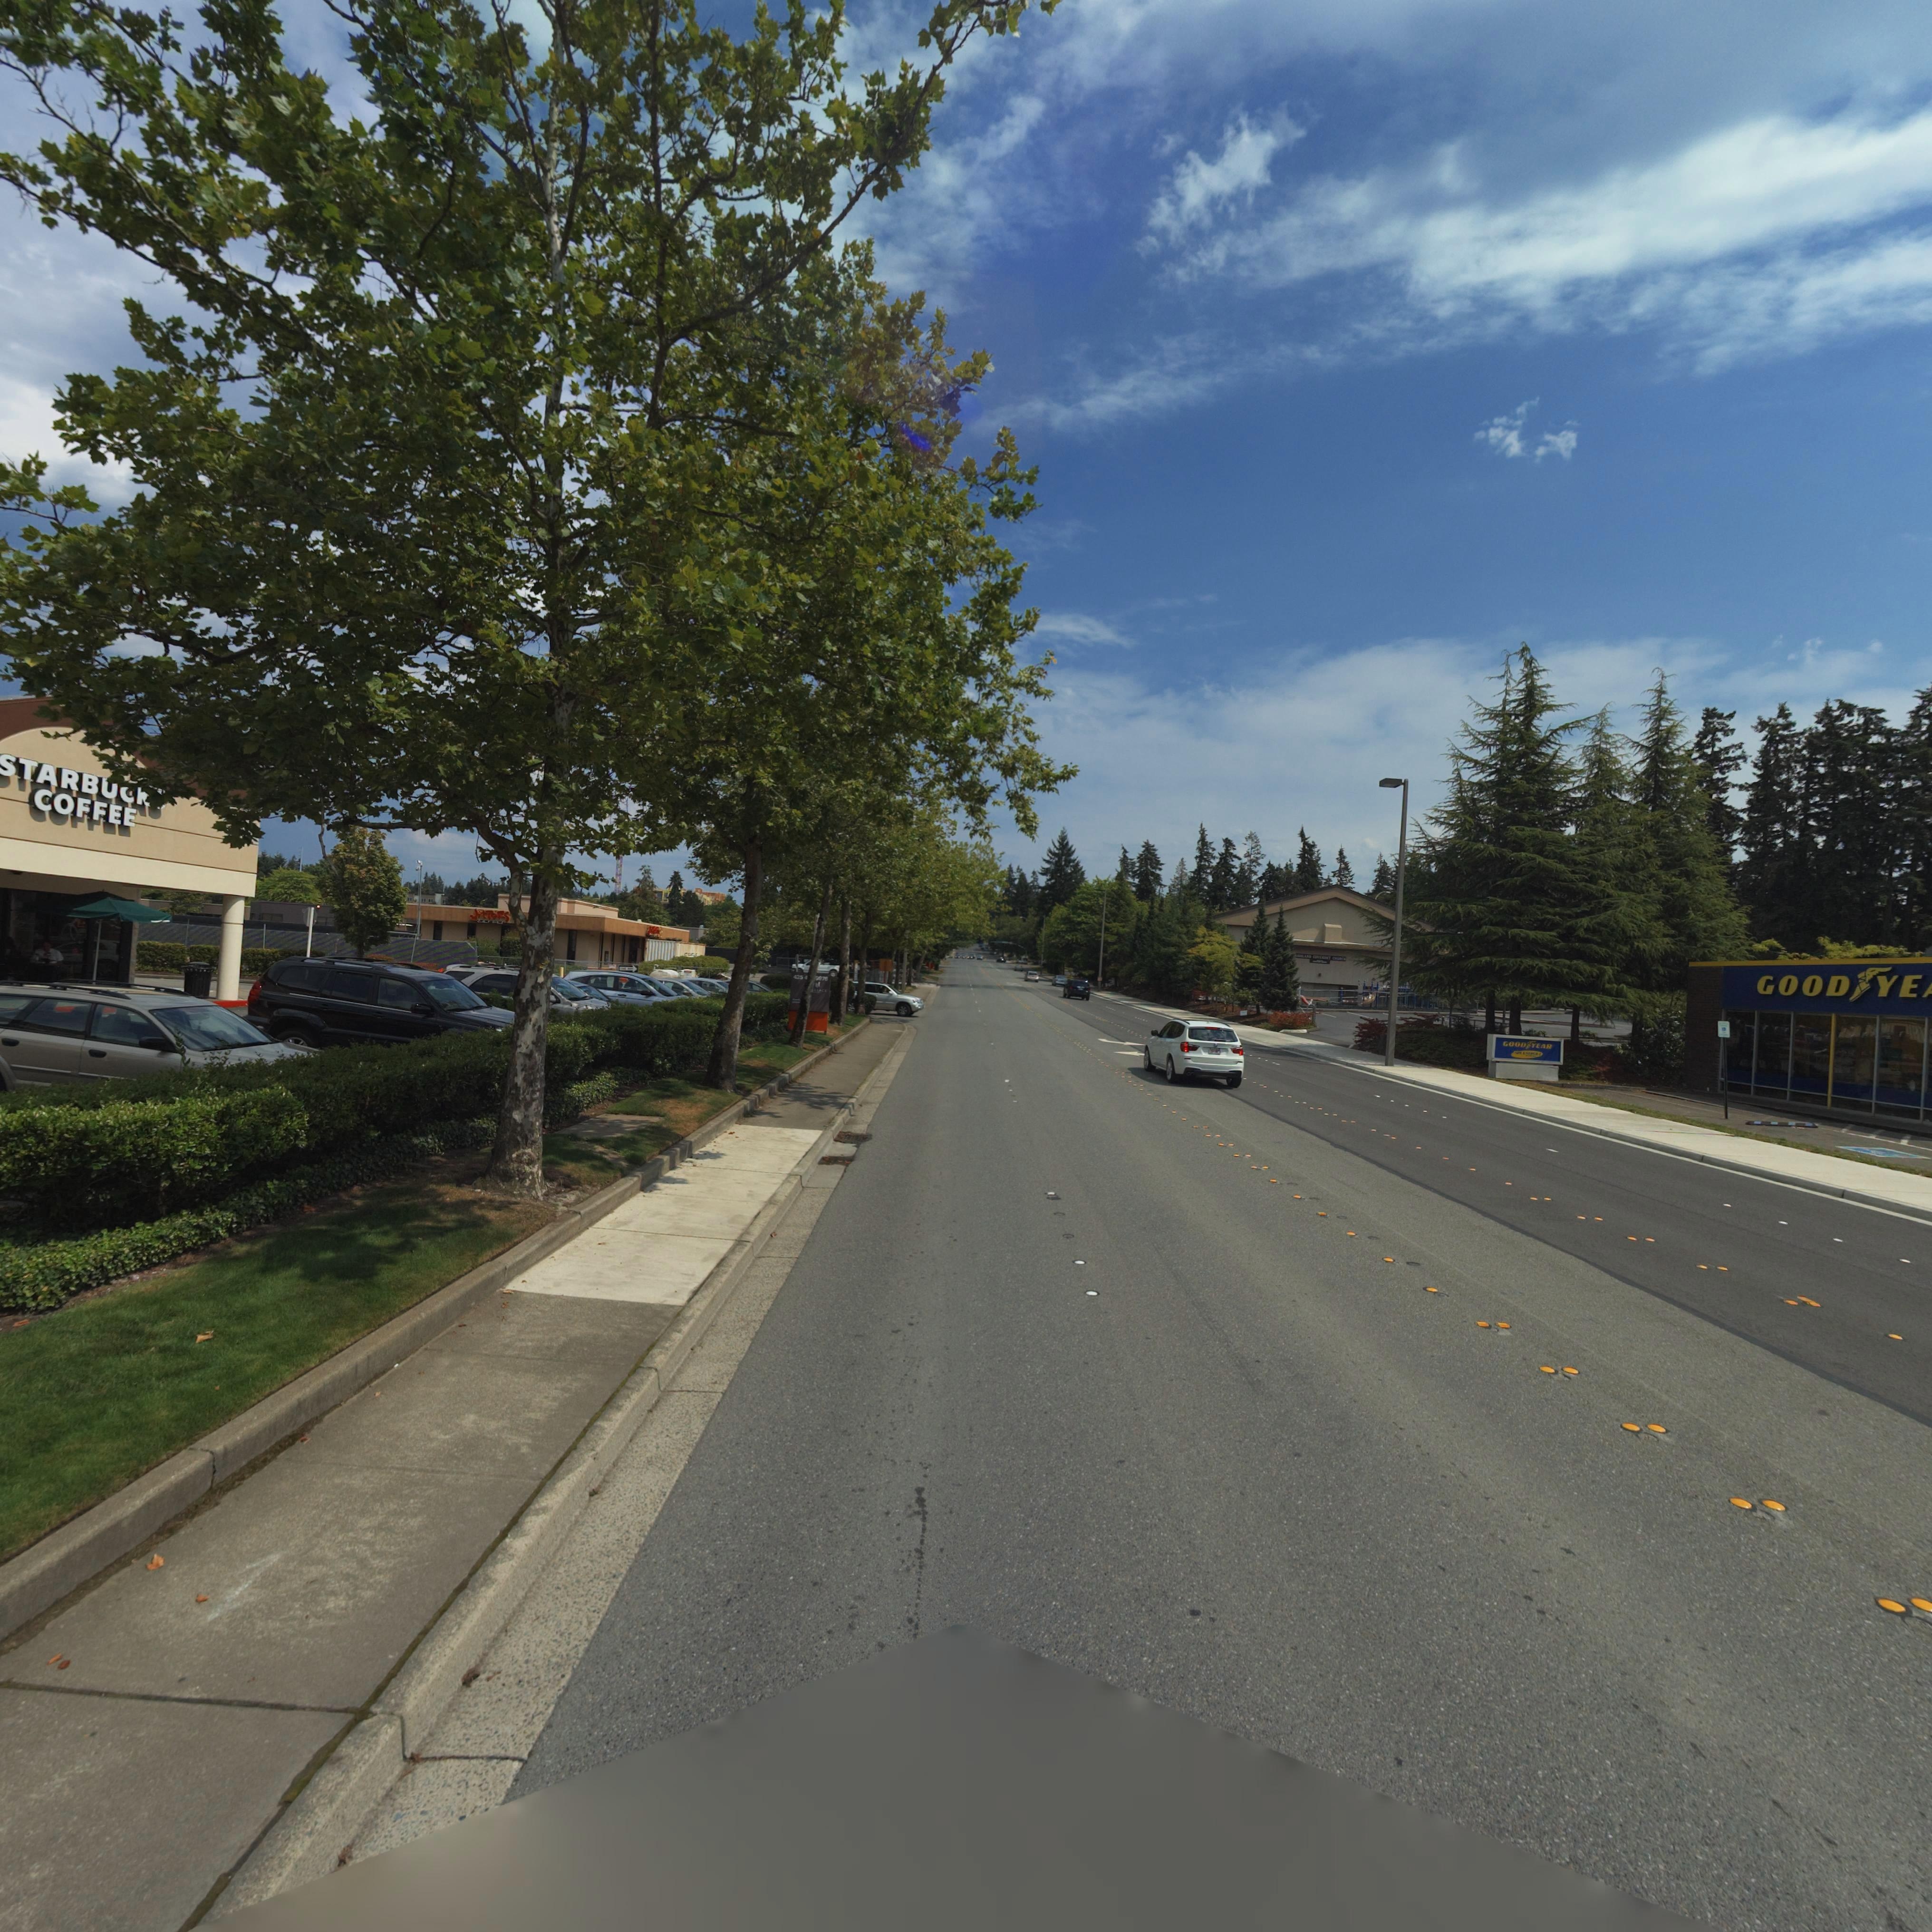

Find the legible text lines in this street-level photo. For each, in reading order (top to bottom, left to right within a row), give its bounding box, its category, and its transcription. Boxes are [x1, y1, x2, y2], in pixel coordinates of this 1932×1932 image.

[0, 752, 119, 801] BusinessName: STARBU
[32, 788, 137, 829] BusinessName: COFFEE
[469, 908, 510, 922] BusinessName: JitTeRS
[1756, 974, 1923, 998] BusinessName: GOOD*YE
[1502, 1040, 1552, 1049] BusinessName: GOOD*YEAR